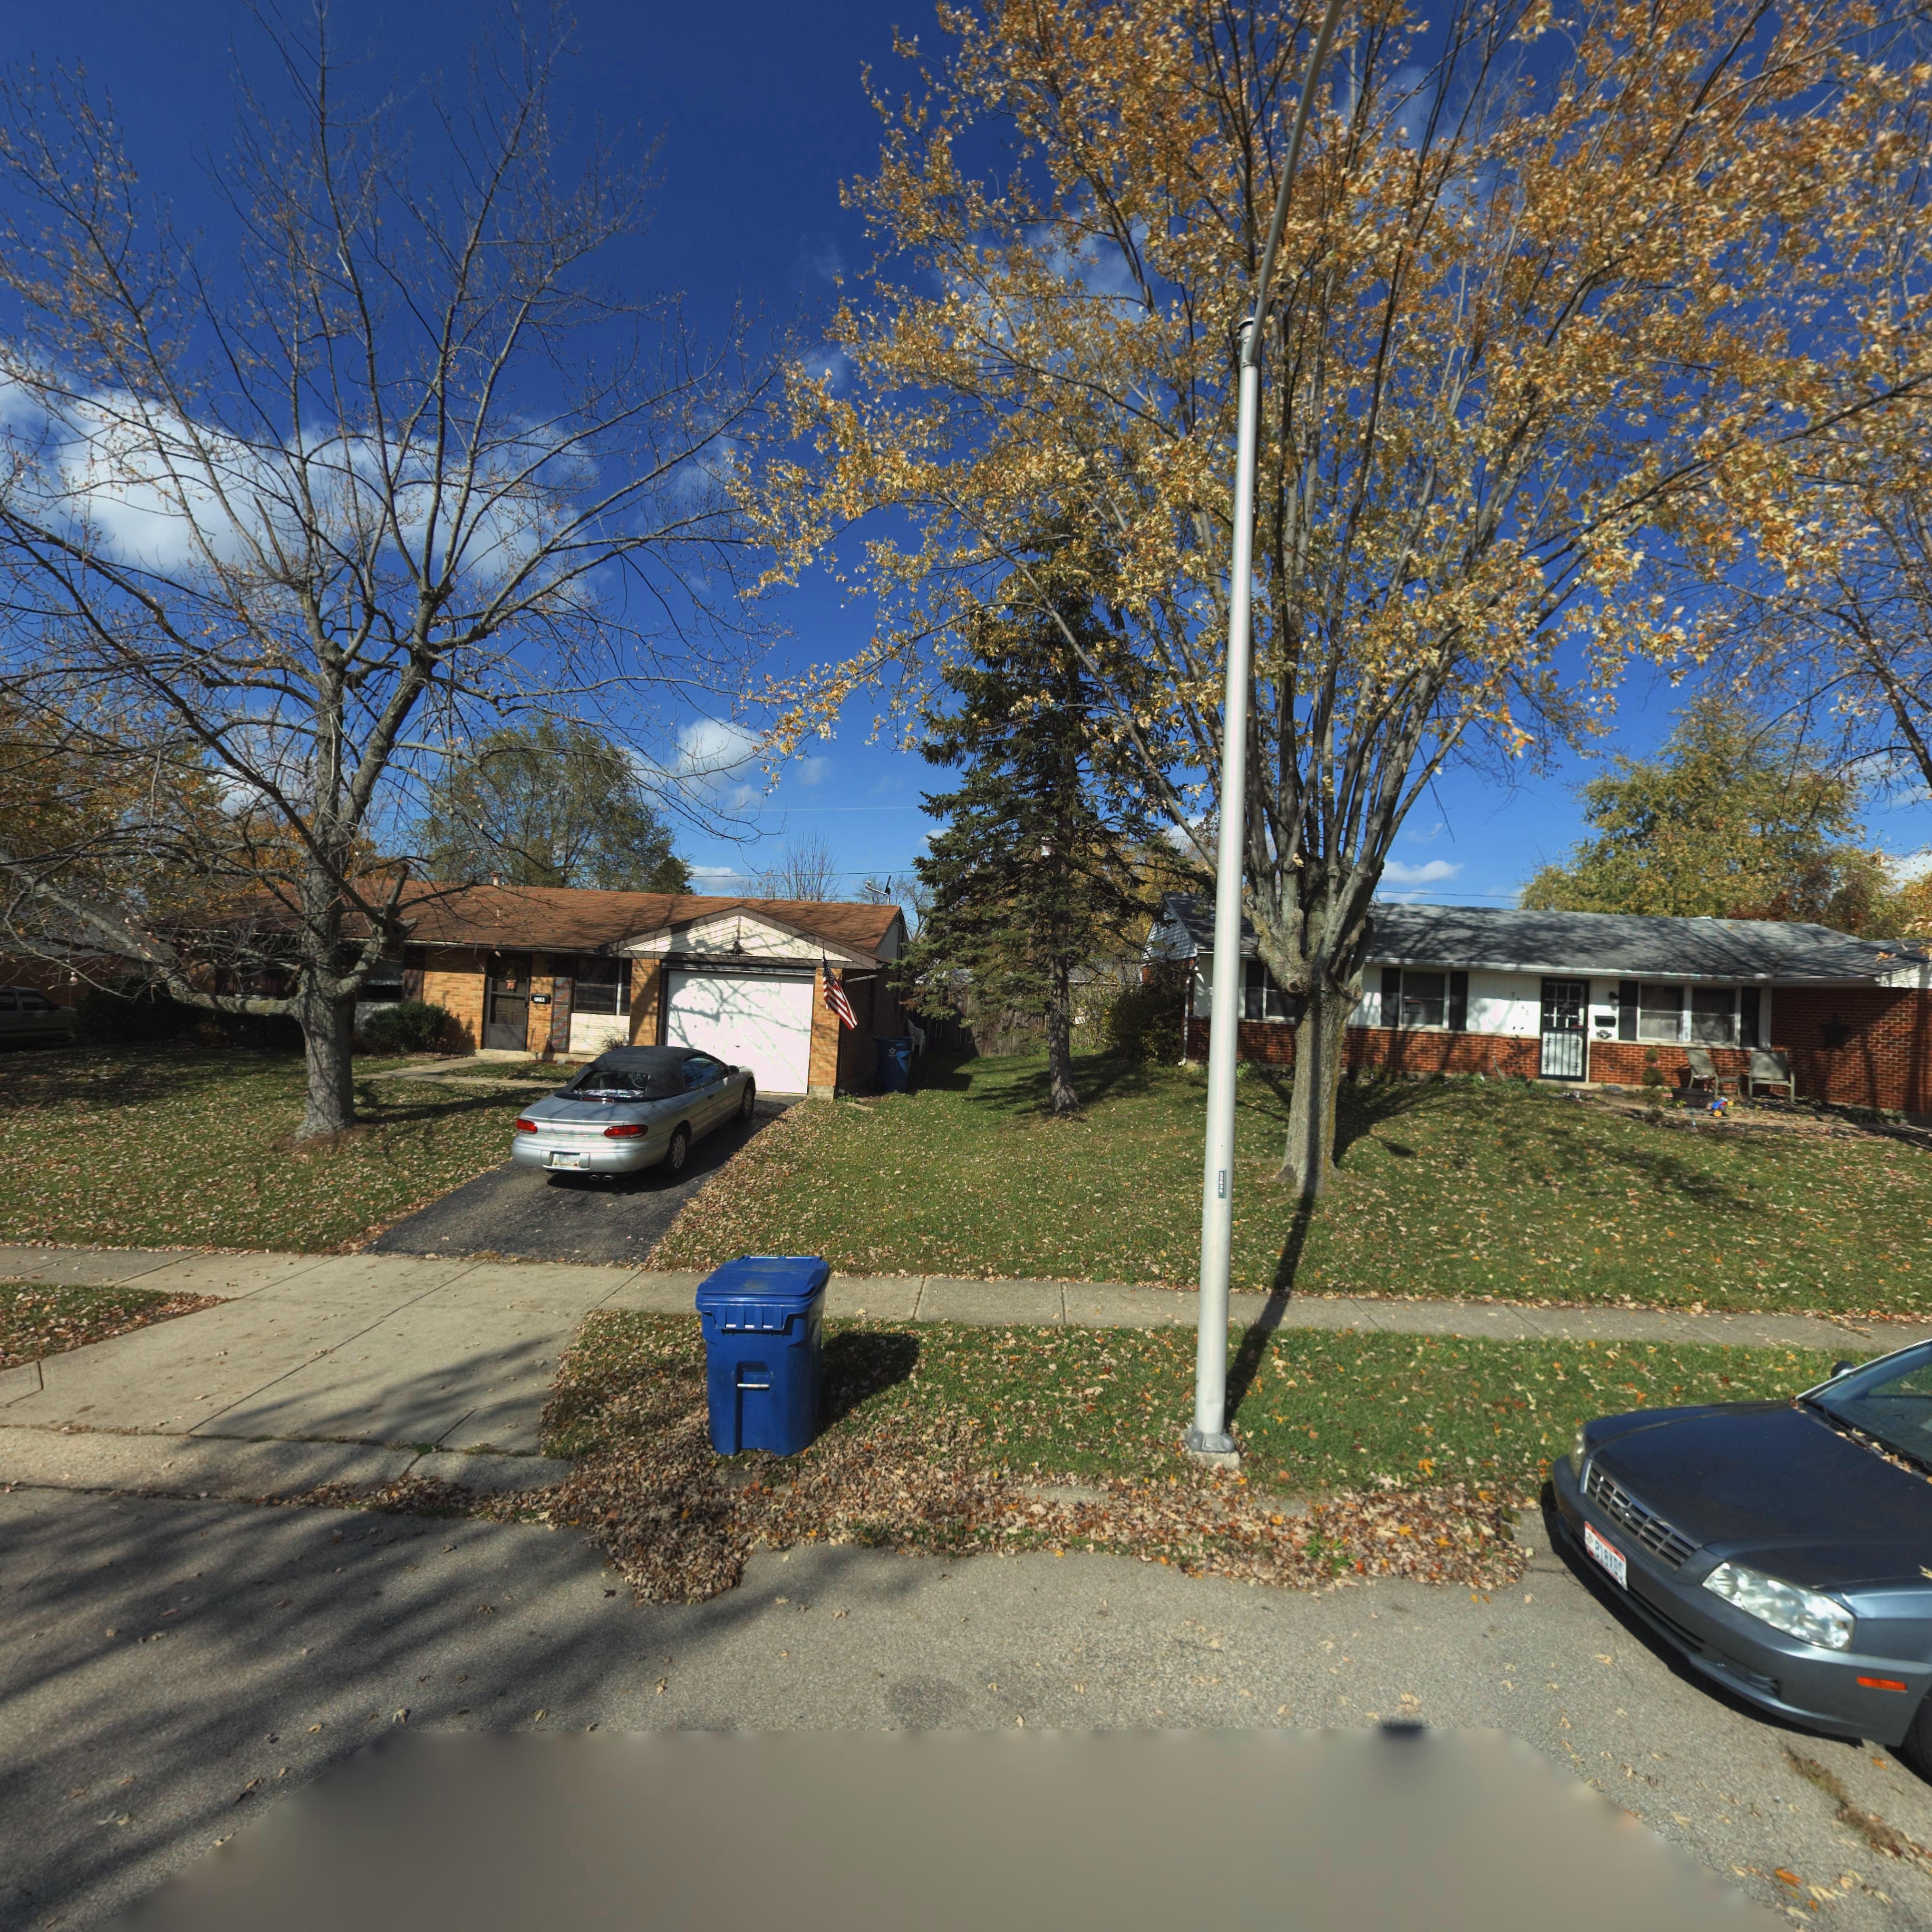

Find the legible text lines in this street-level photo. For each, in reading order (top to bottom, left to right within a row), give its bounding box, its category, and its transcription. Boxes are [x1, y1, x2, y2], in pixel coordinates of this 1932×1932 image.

[731, 956, 740, 961] StreetNumber: 77**
[534, 997, 546, 1002] StreetNumber: 7741
[1511, 991, 1530, 1016] StreetNumber: 7745